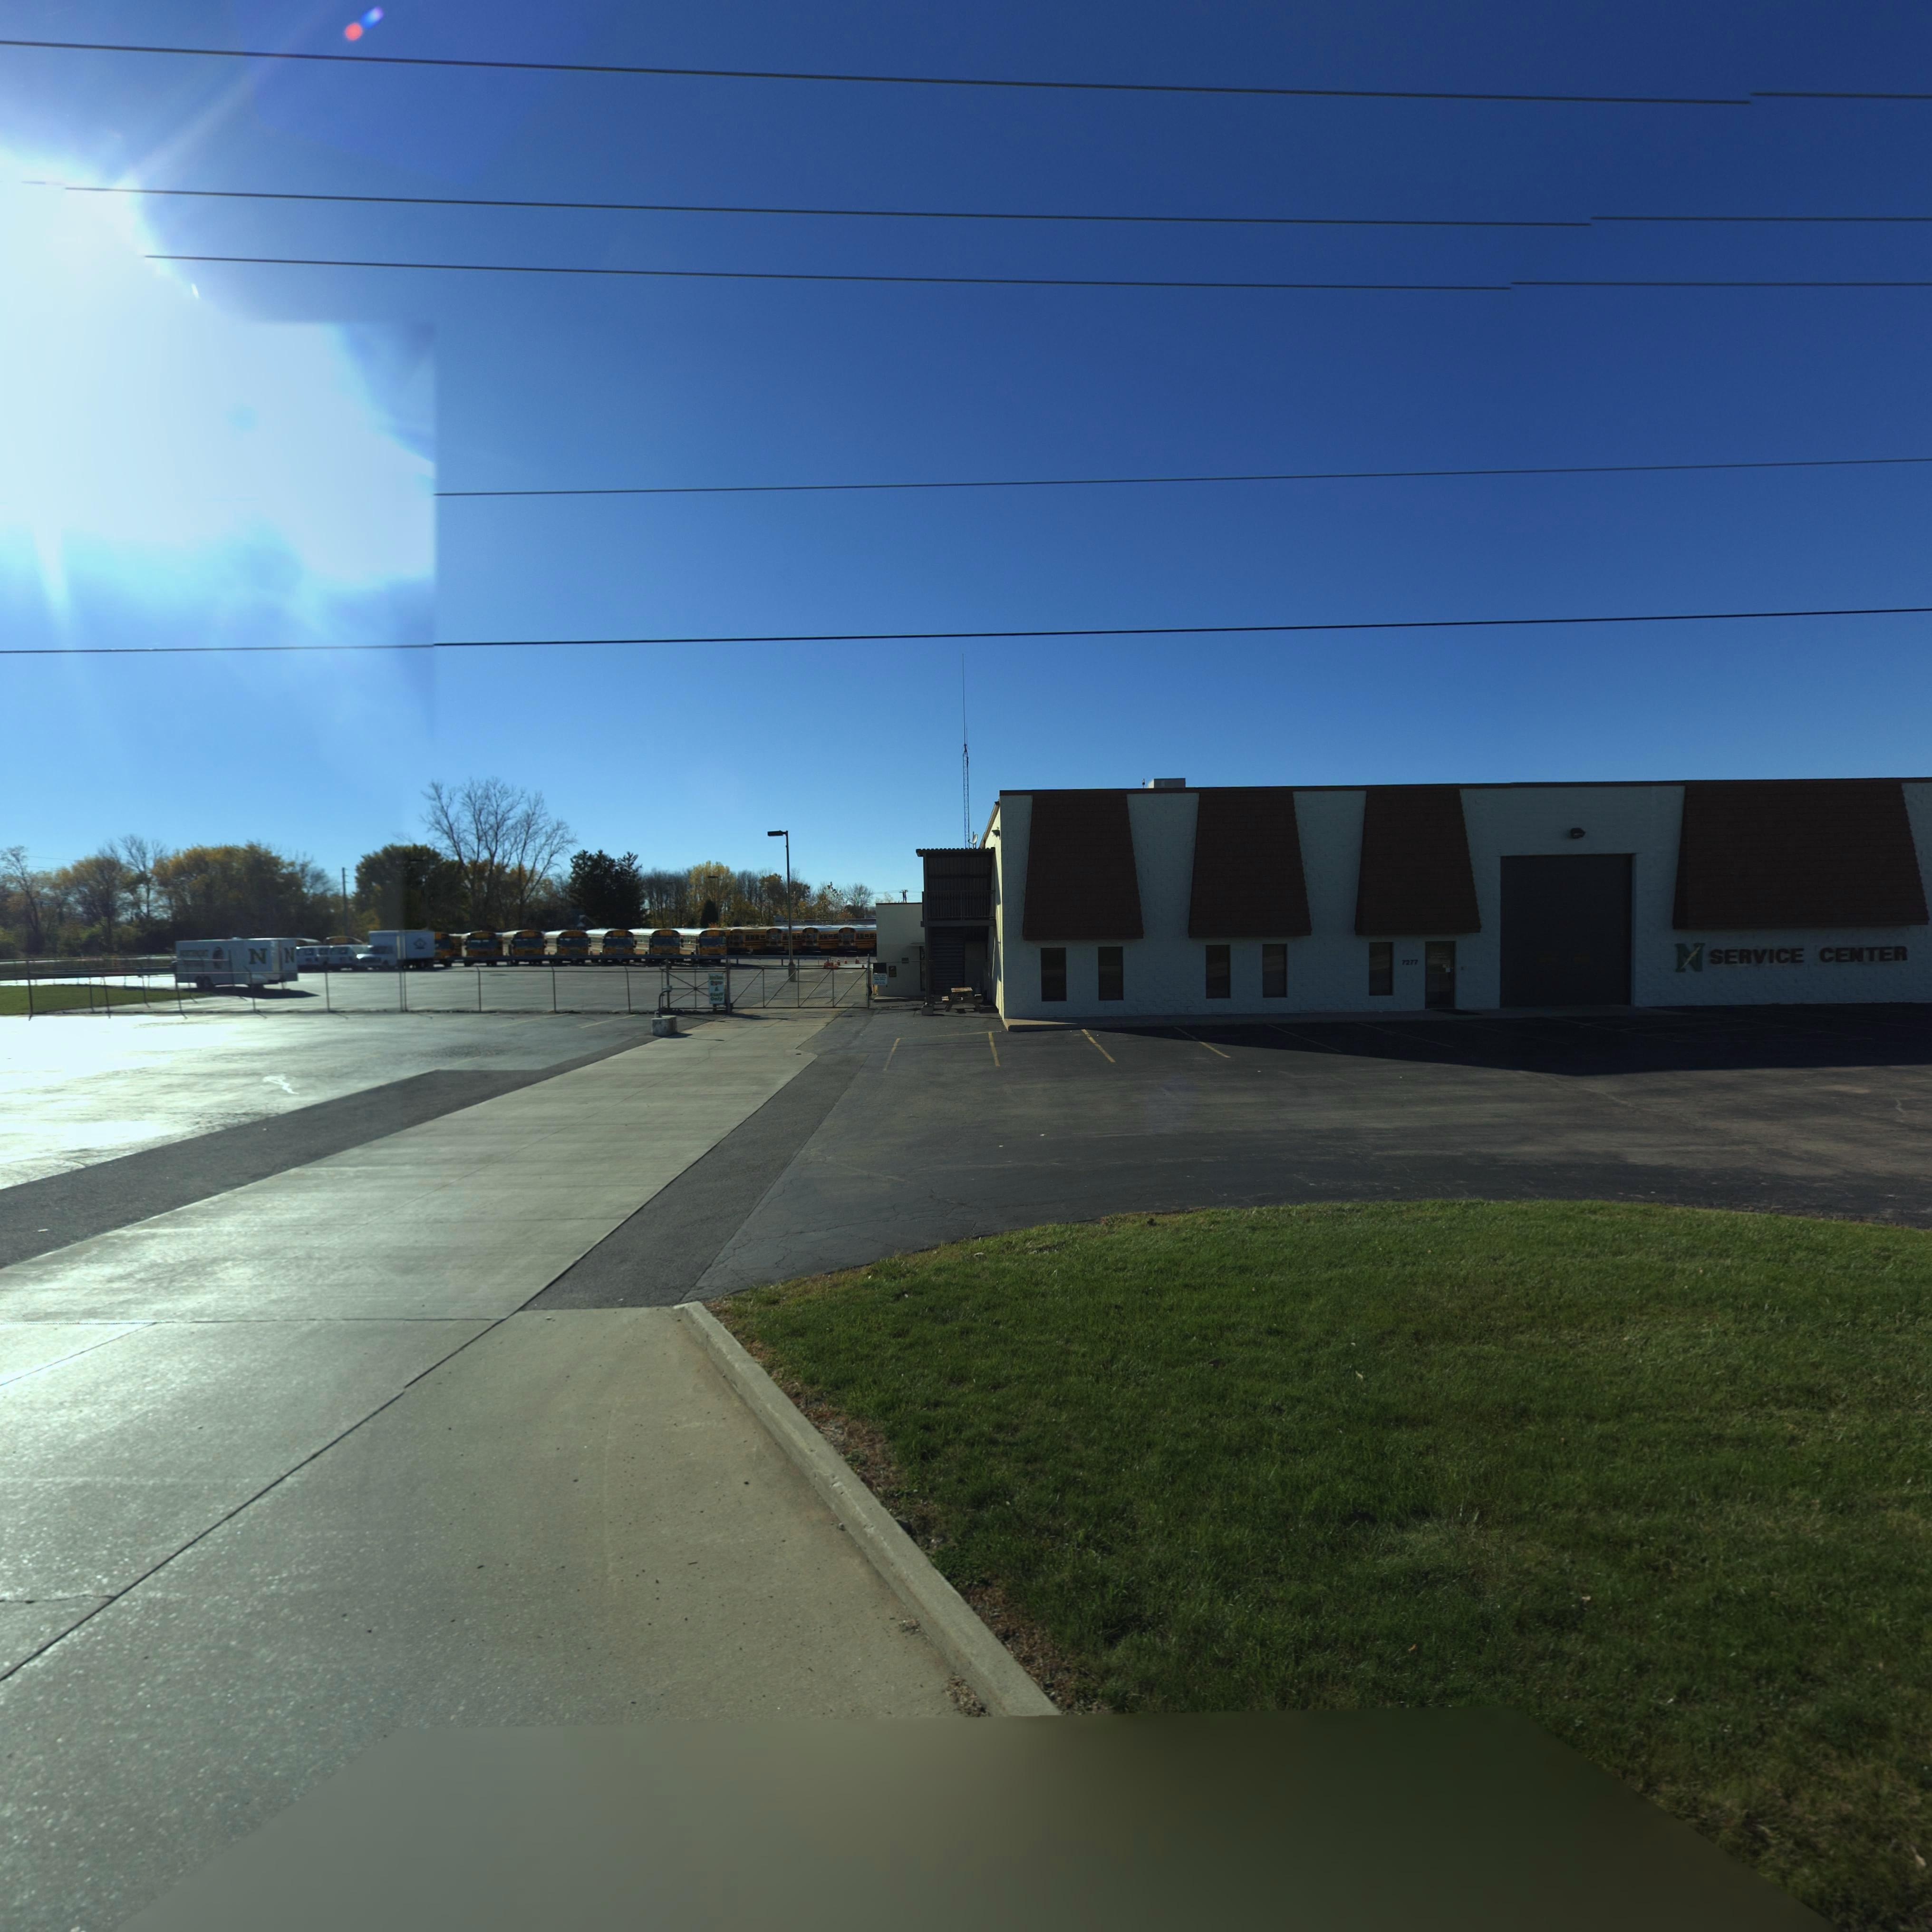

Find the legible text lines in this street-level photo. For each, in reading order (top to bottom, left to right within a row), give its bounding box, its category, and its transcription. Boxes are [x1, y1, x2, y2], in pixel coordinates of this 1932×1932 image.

[1401, 959, 1418, 965] StreetNumber: 7277